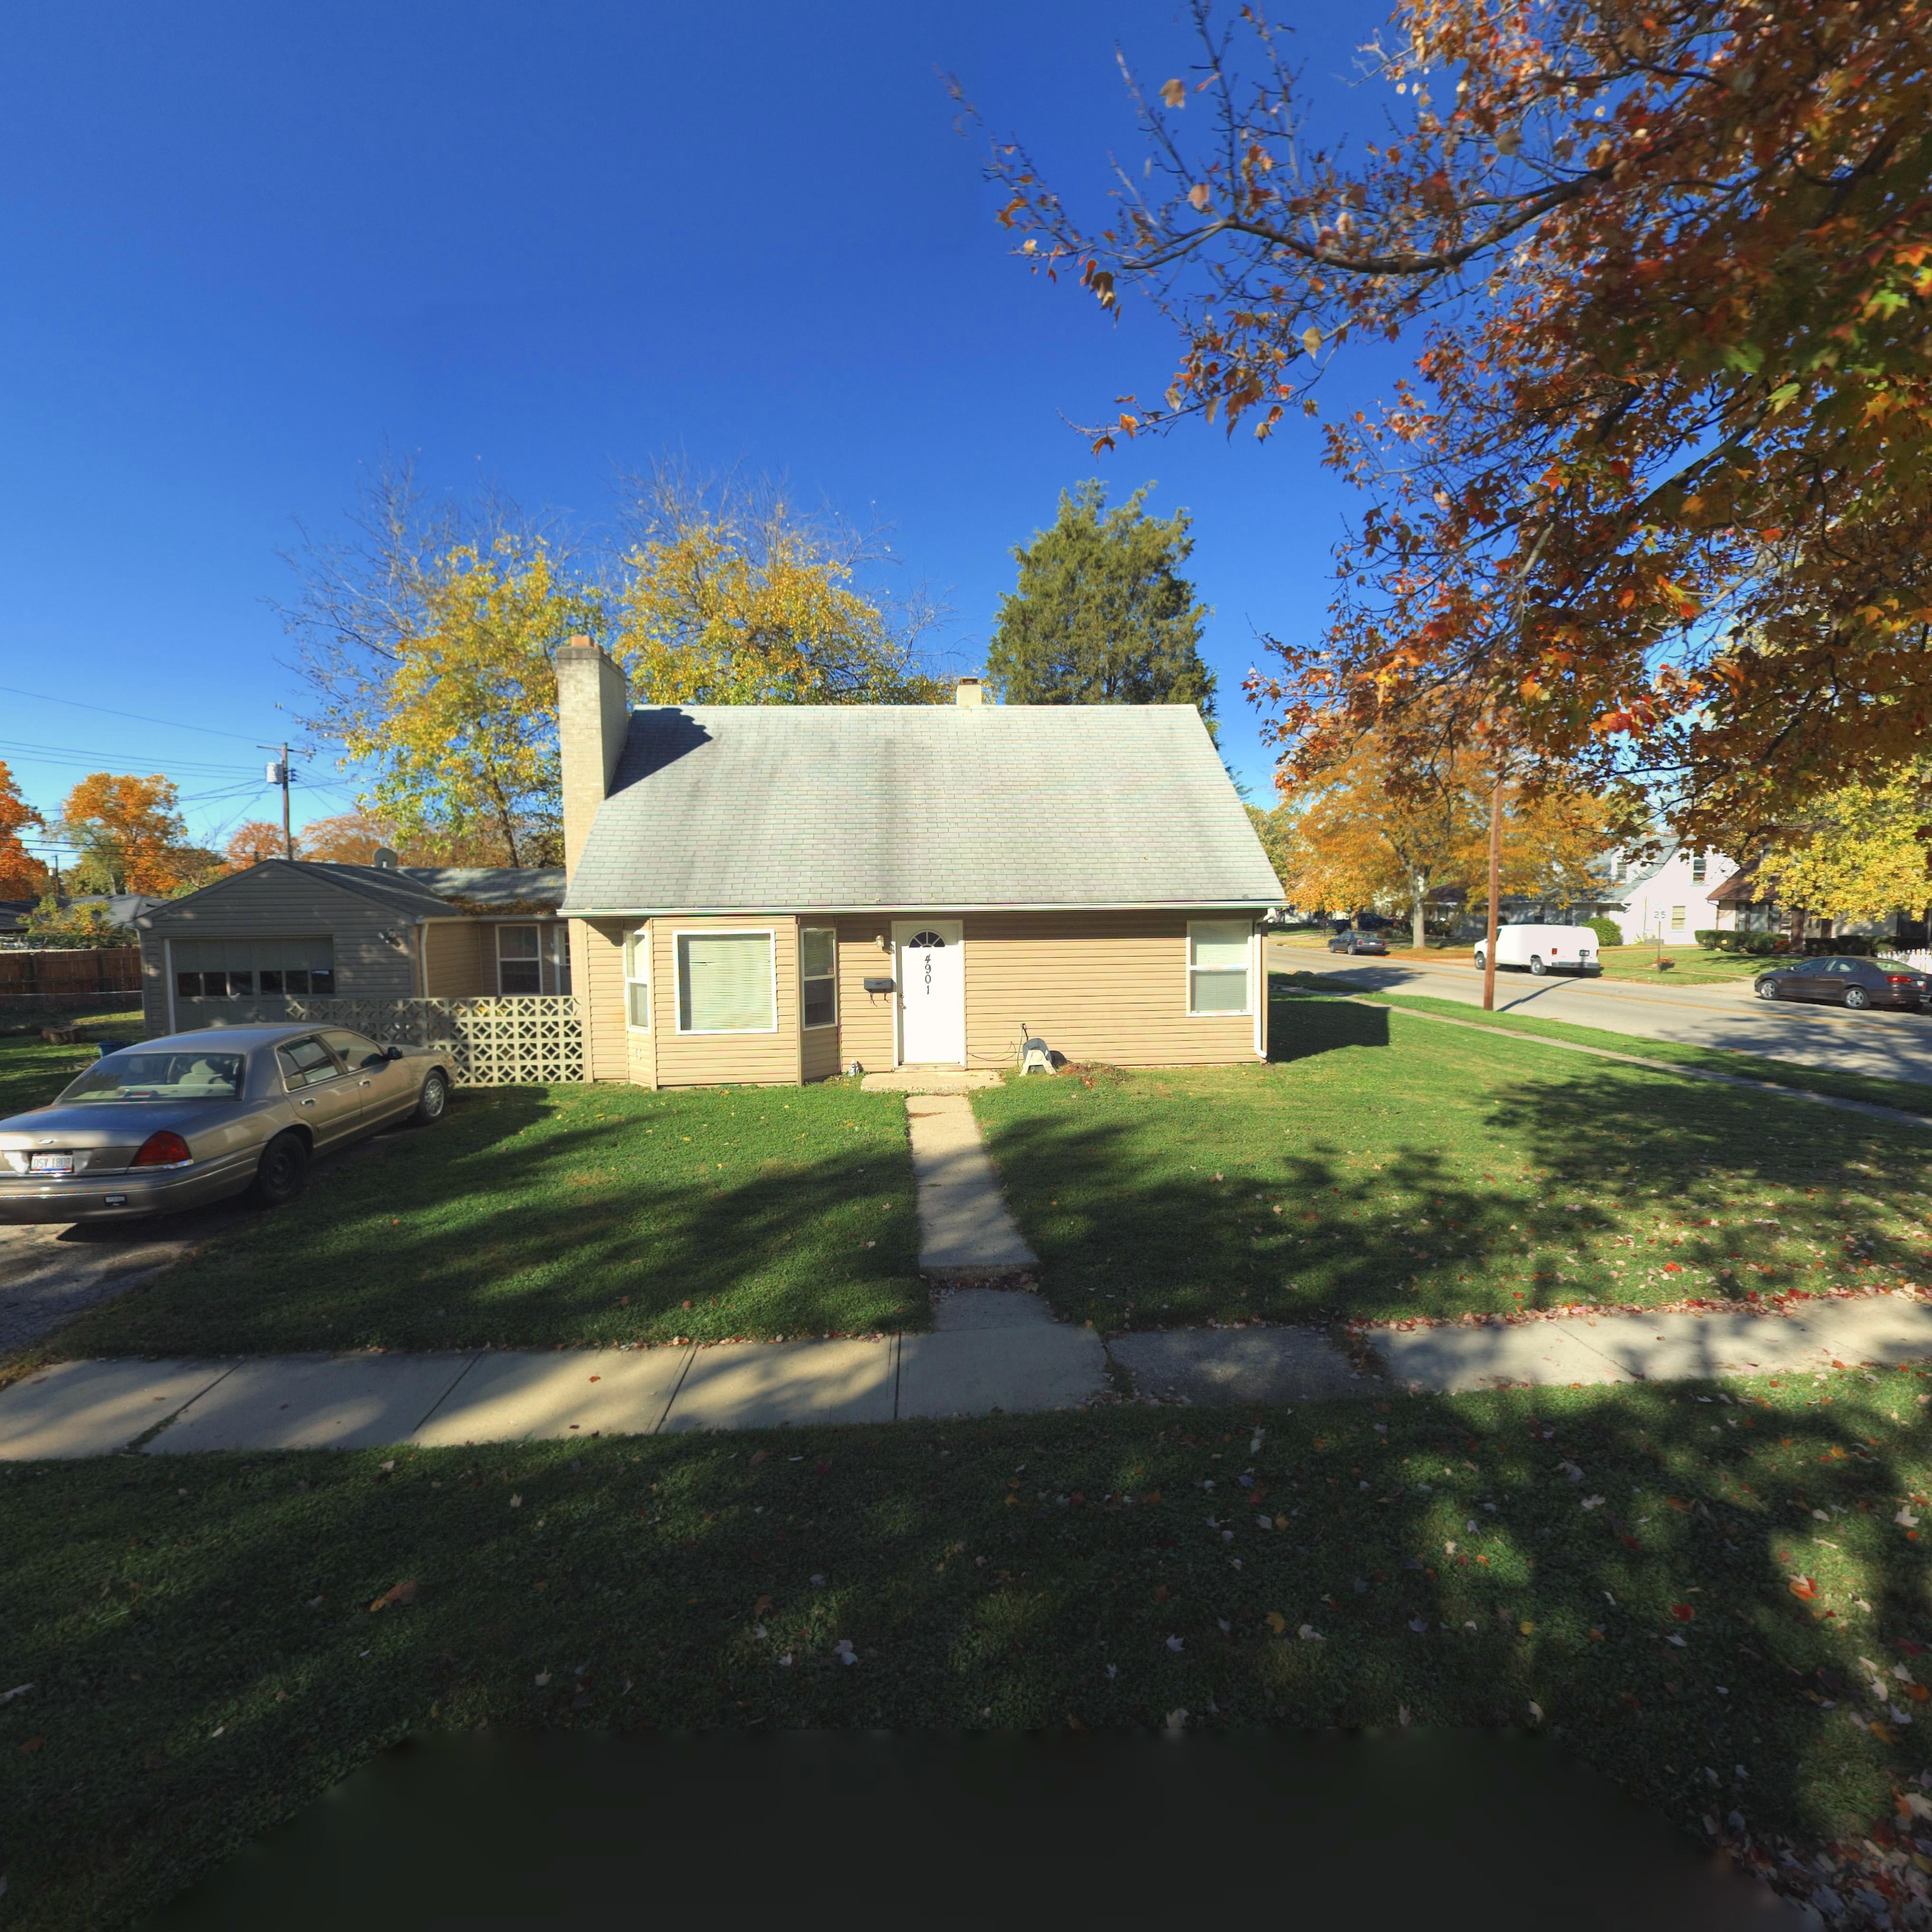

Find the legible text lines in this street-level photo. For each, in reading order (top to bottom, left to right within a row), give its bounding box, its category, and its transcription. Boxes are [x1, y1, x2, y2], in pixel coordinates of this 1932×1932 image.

[924, 954, 932, 995] StreetNumber: 4901